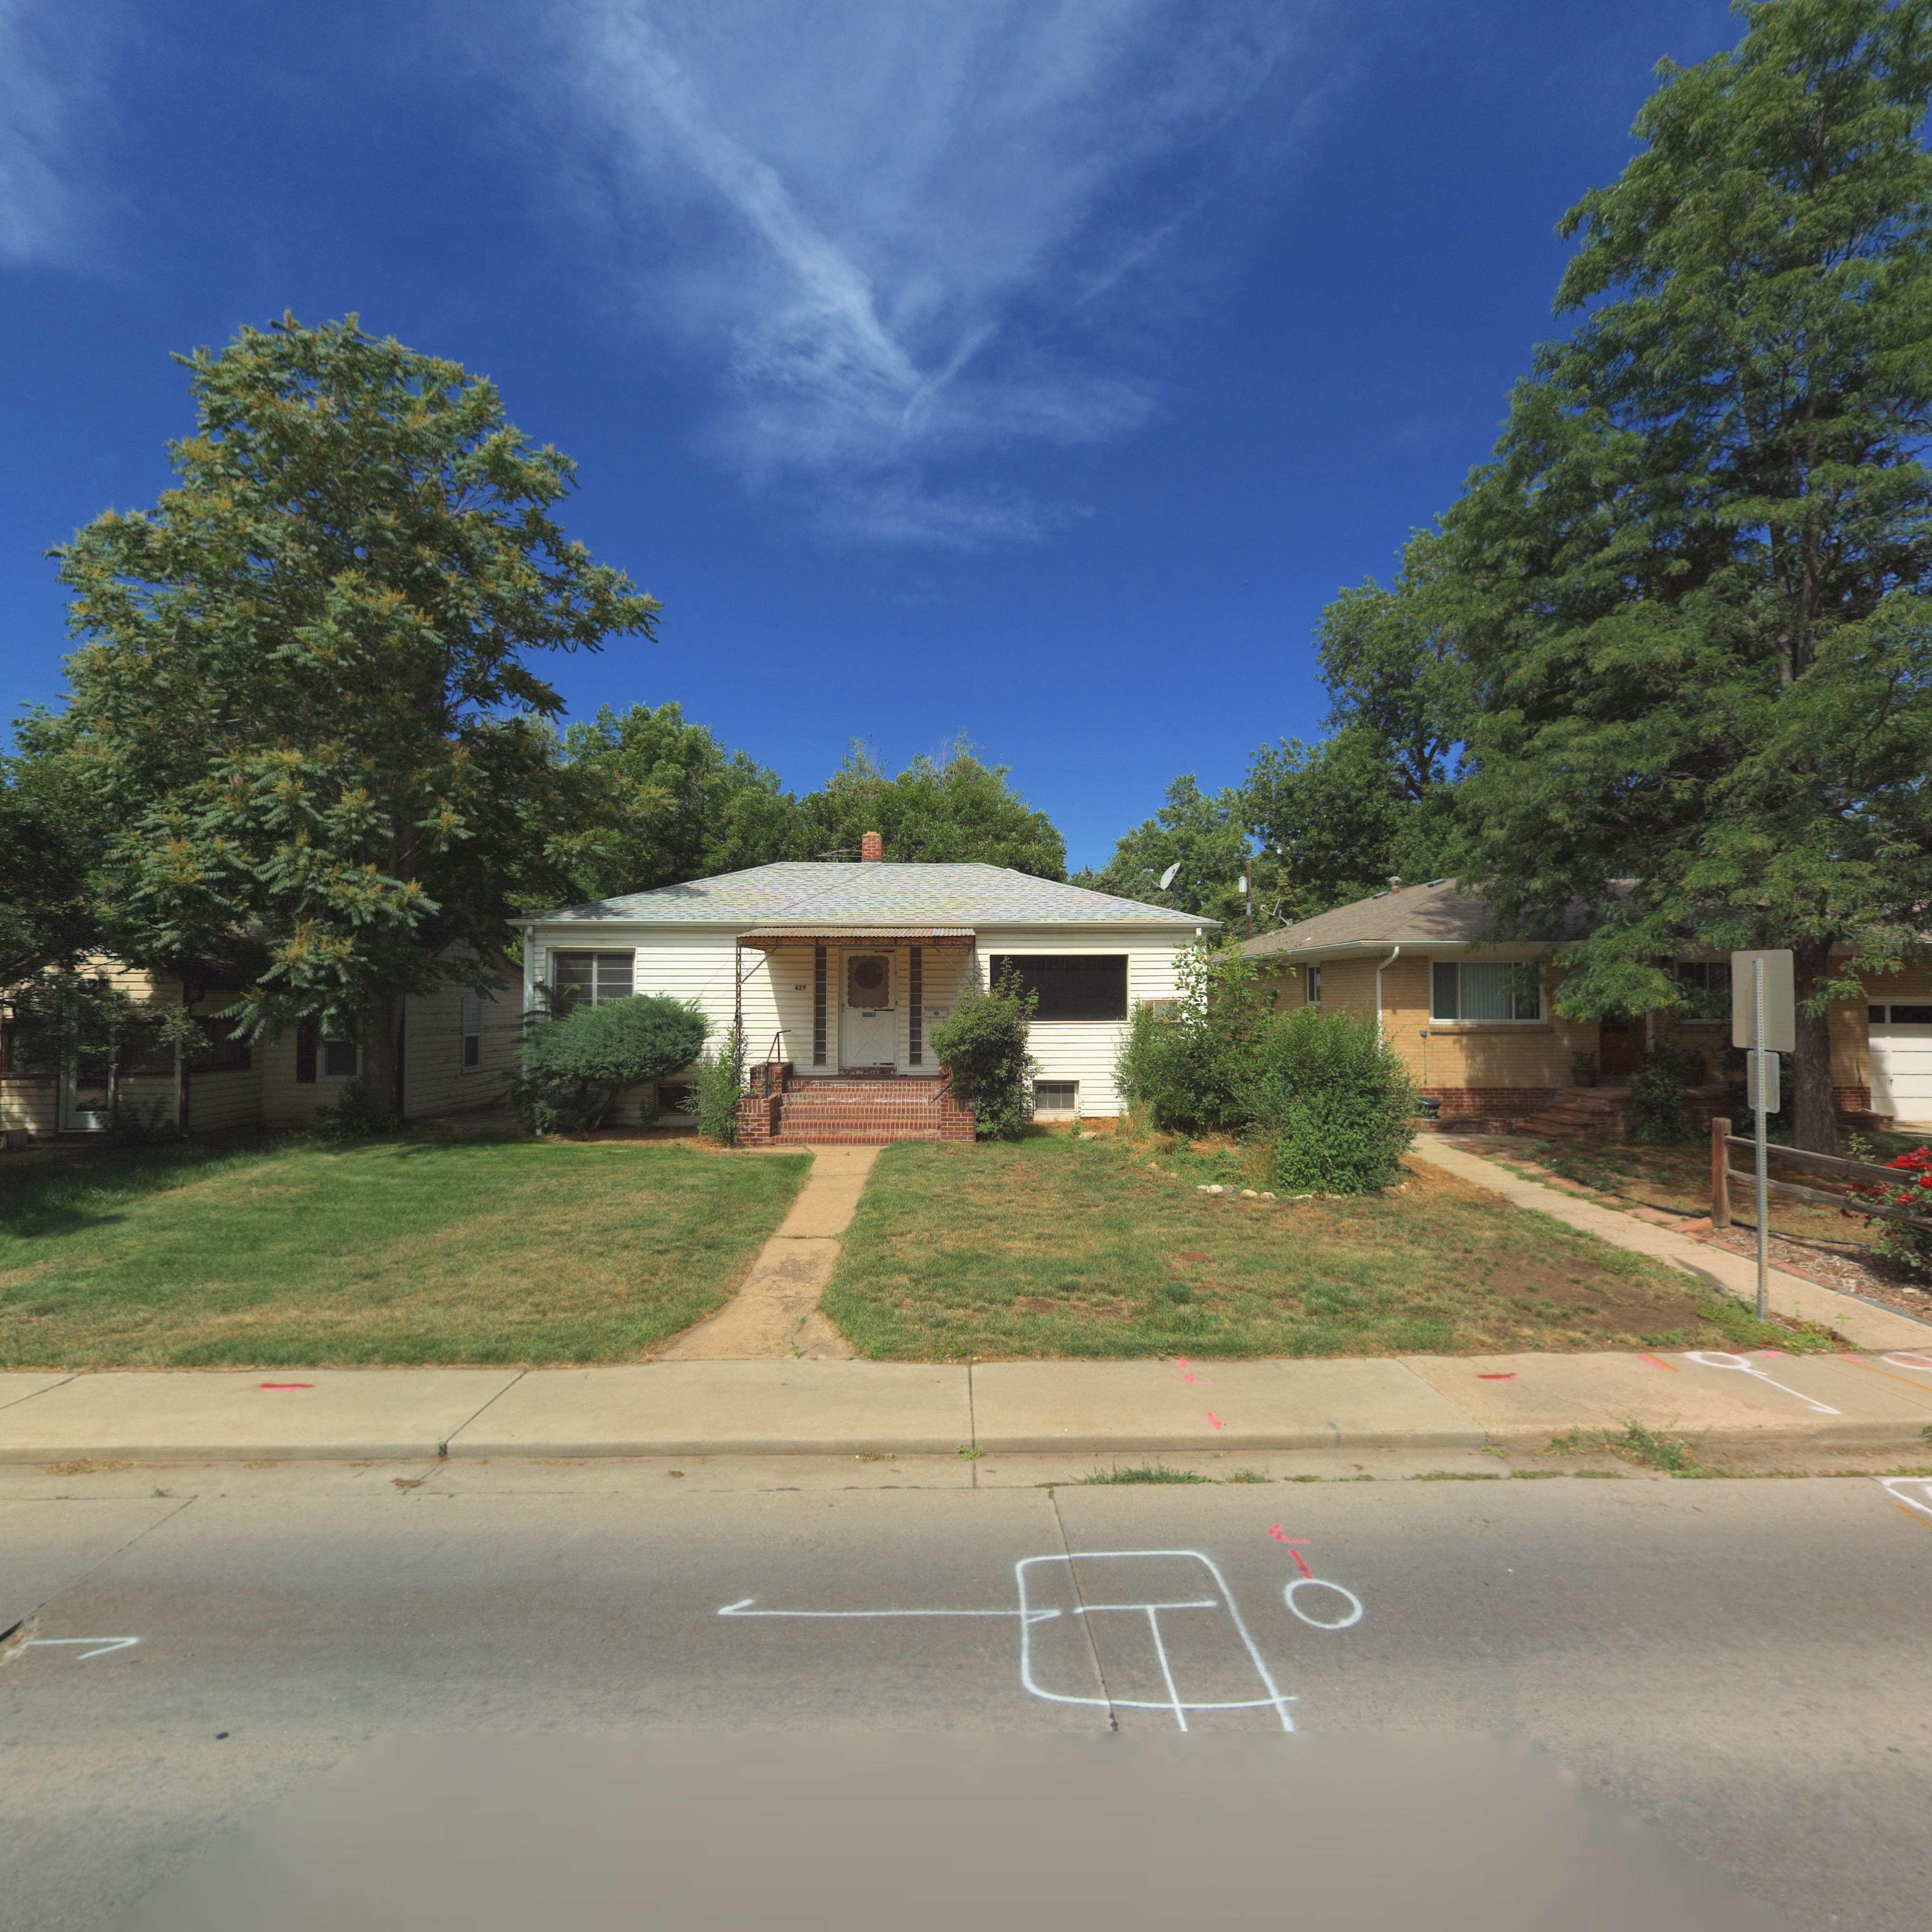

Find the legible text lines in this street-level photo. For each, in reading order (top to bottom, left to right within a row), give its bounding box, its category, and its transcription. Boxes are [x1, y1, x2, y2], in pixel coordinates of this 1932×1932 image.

[794, 985, 806, 990] StreetNumber: 429